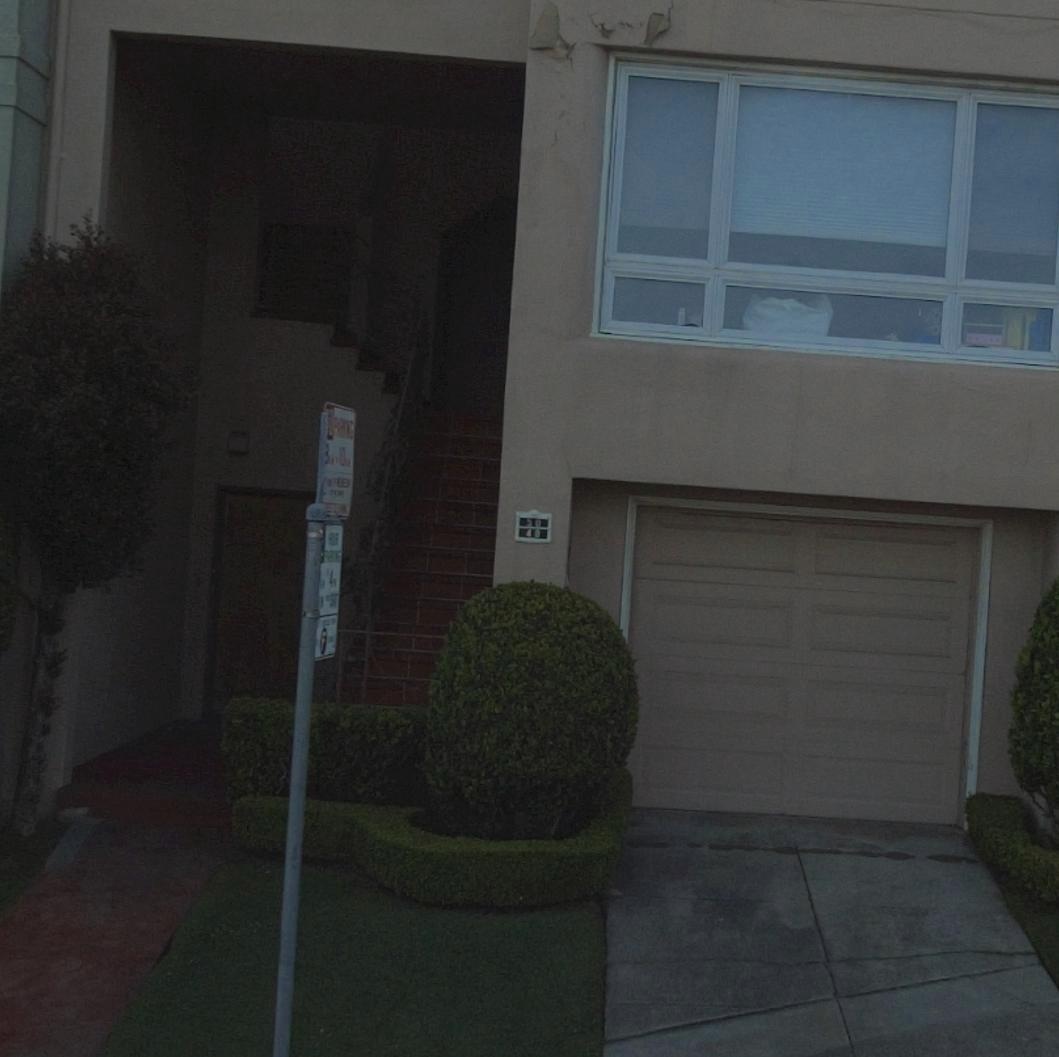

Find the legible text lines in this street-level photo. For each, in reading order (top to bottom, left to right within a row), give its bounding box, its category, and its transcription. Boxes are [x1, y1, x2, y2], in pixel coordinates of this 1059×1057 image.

[523, 516, 543, 528] StreetNumber: 50
[523, 527, 543, 540] StreetNumber: 40